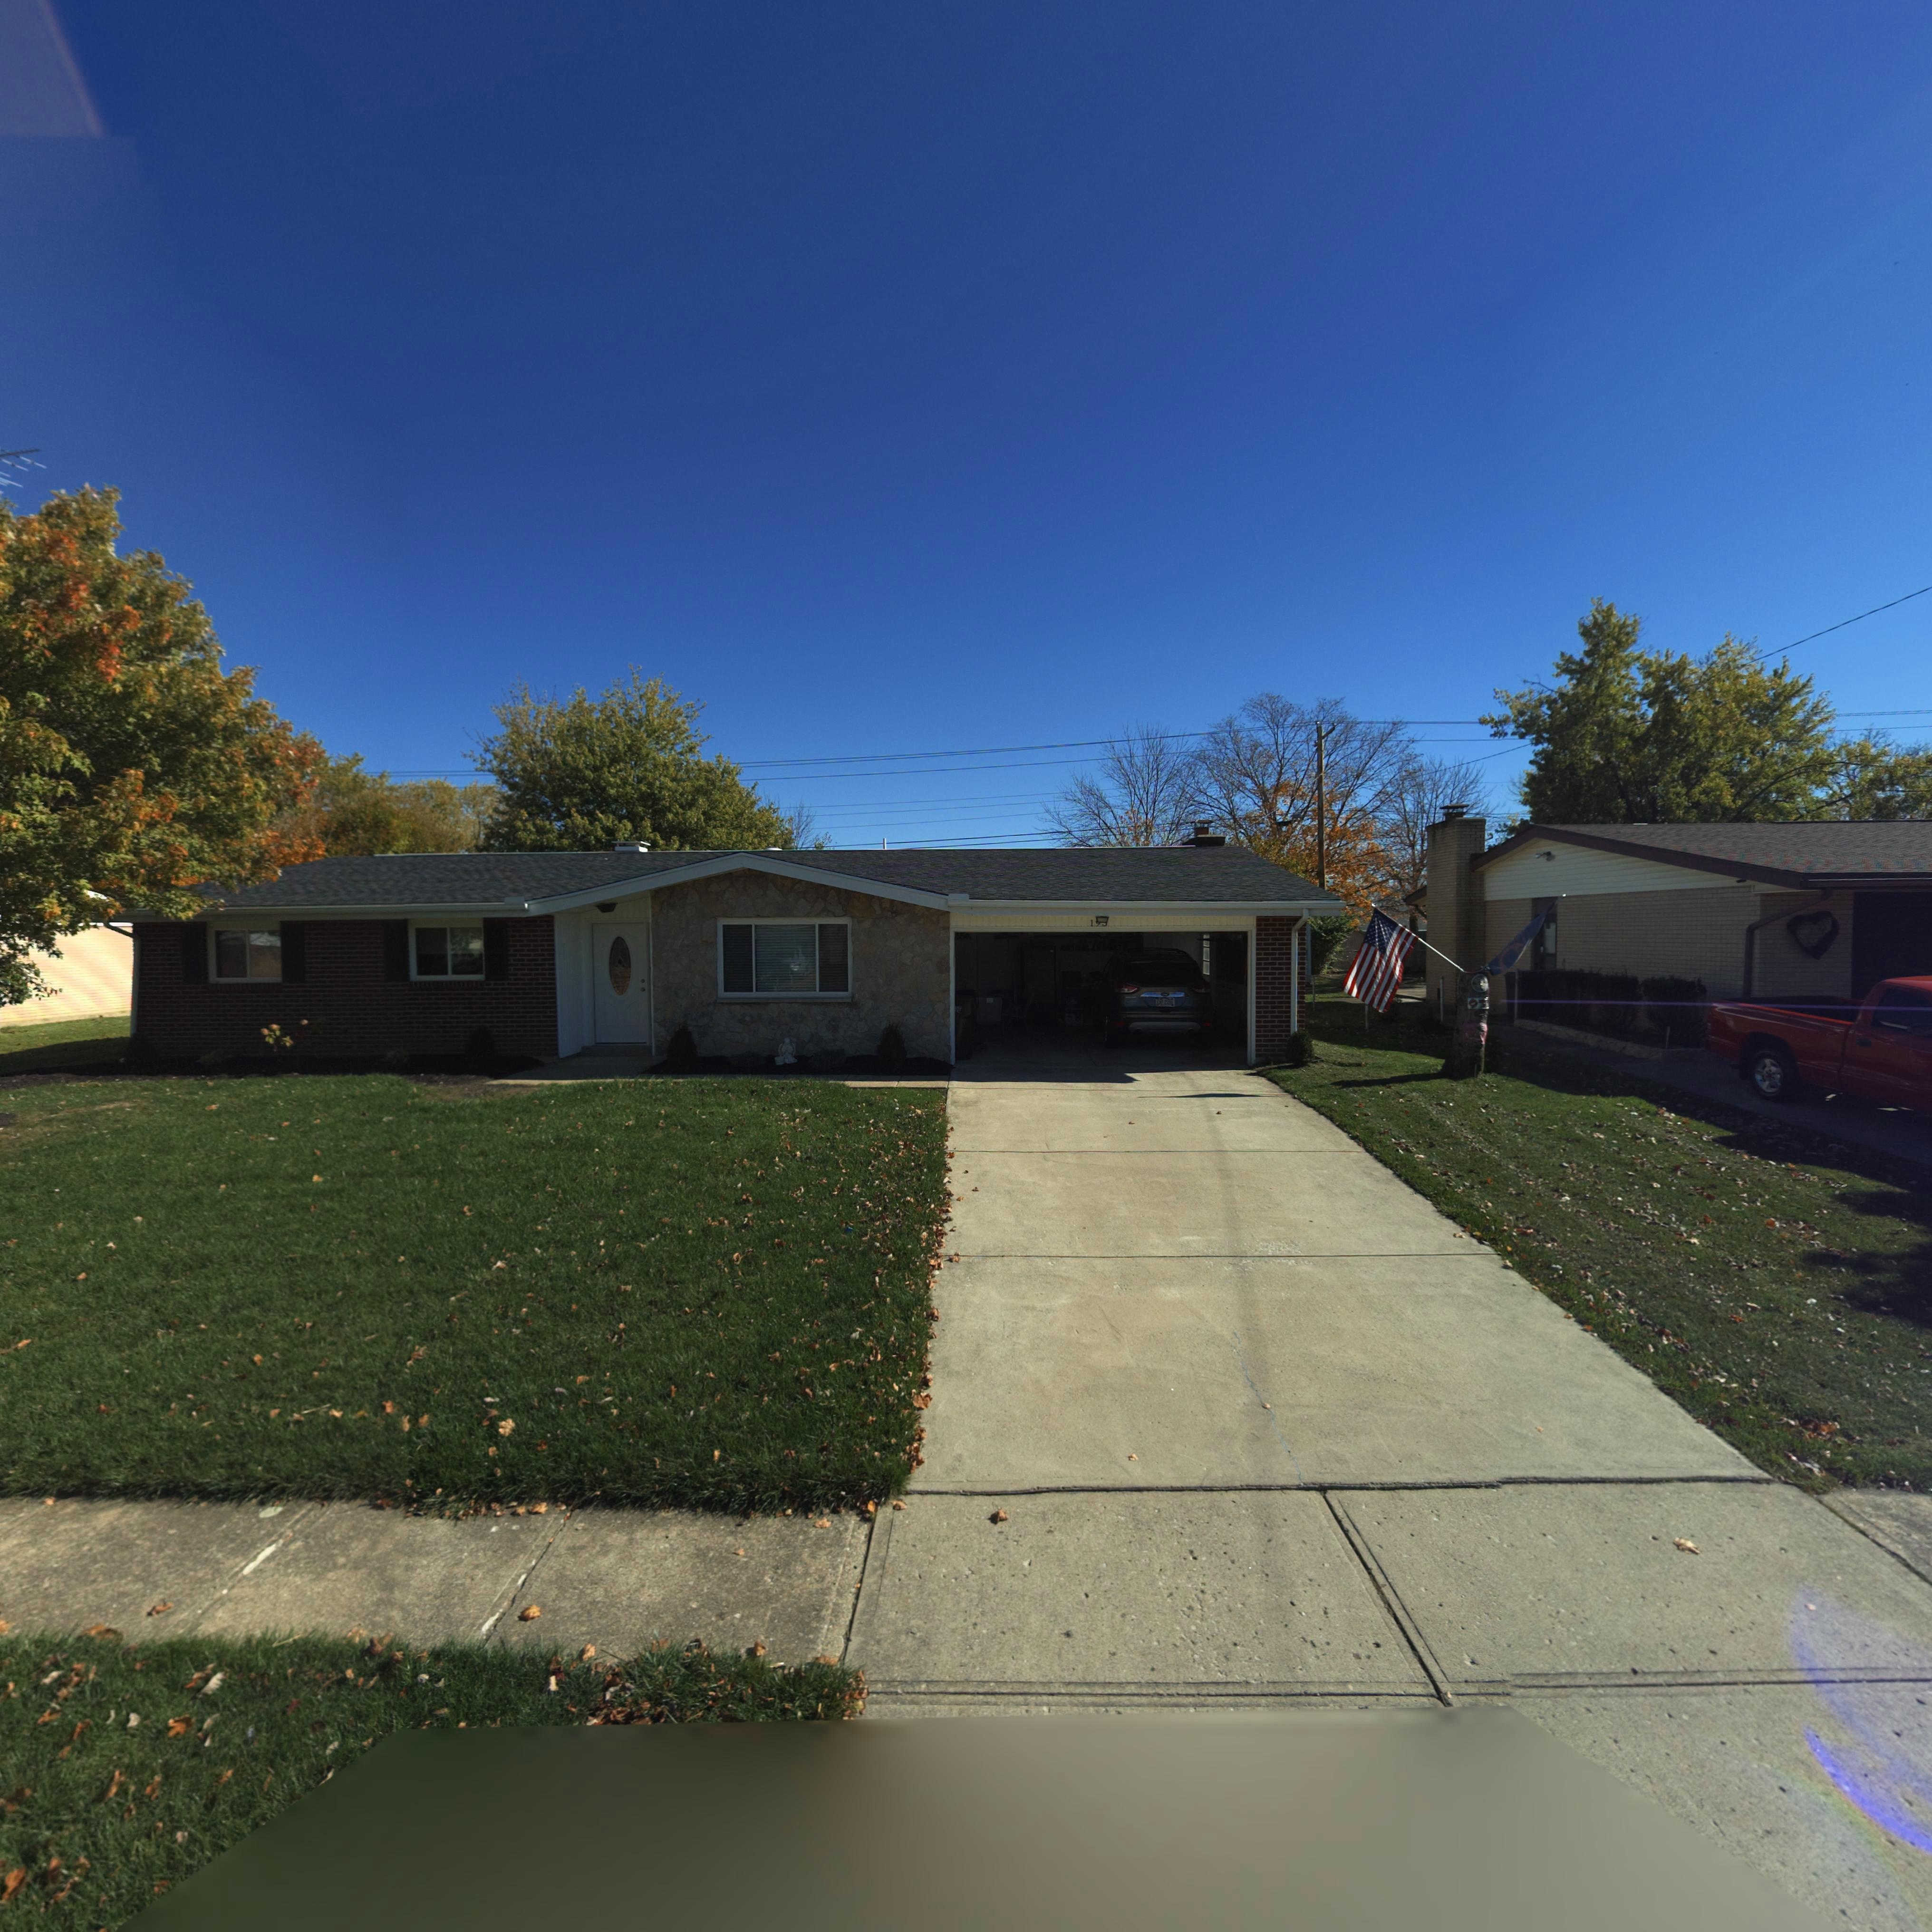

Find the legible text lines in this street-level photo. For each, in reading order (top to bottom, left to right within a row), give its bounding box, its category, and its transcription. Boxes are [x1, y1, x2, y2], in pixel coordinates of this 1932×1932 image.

[1090, 918, 1094, 927] StreetNumber: 1